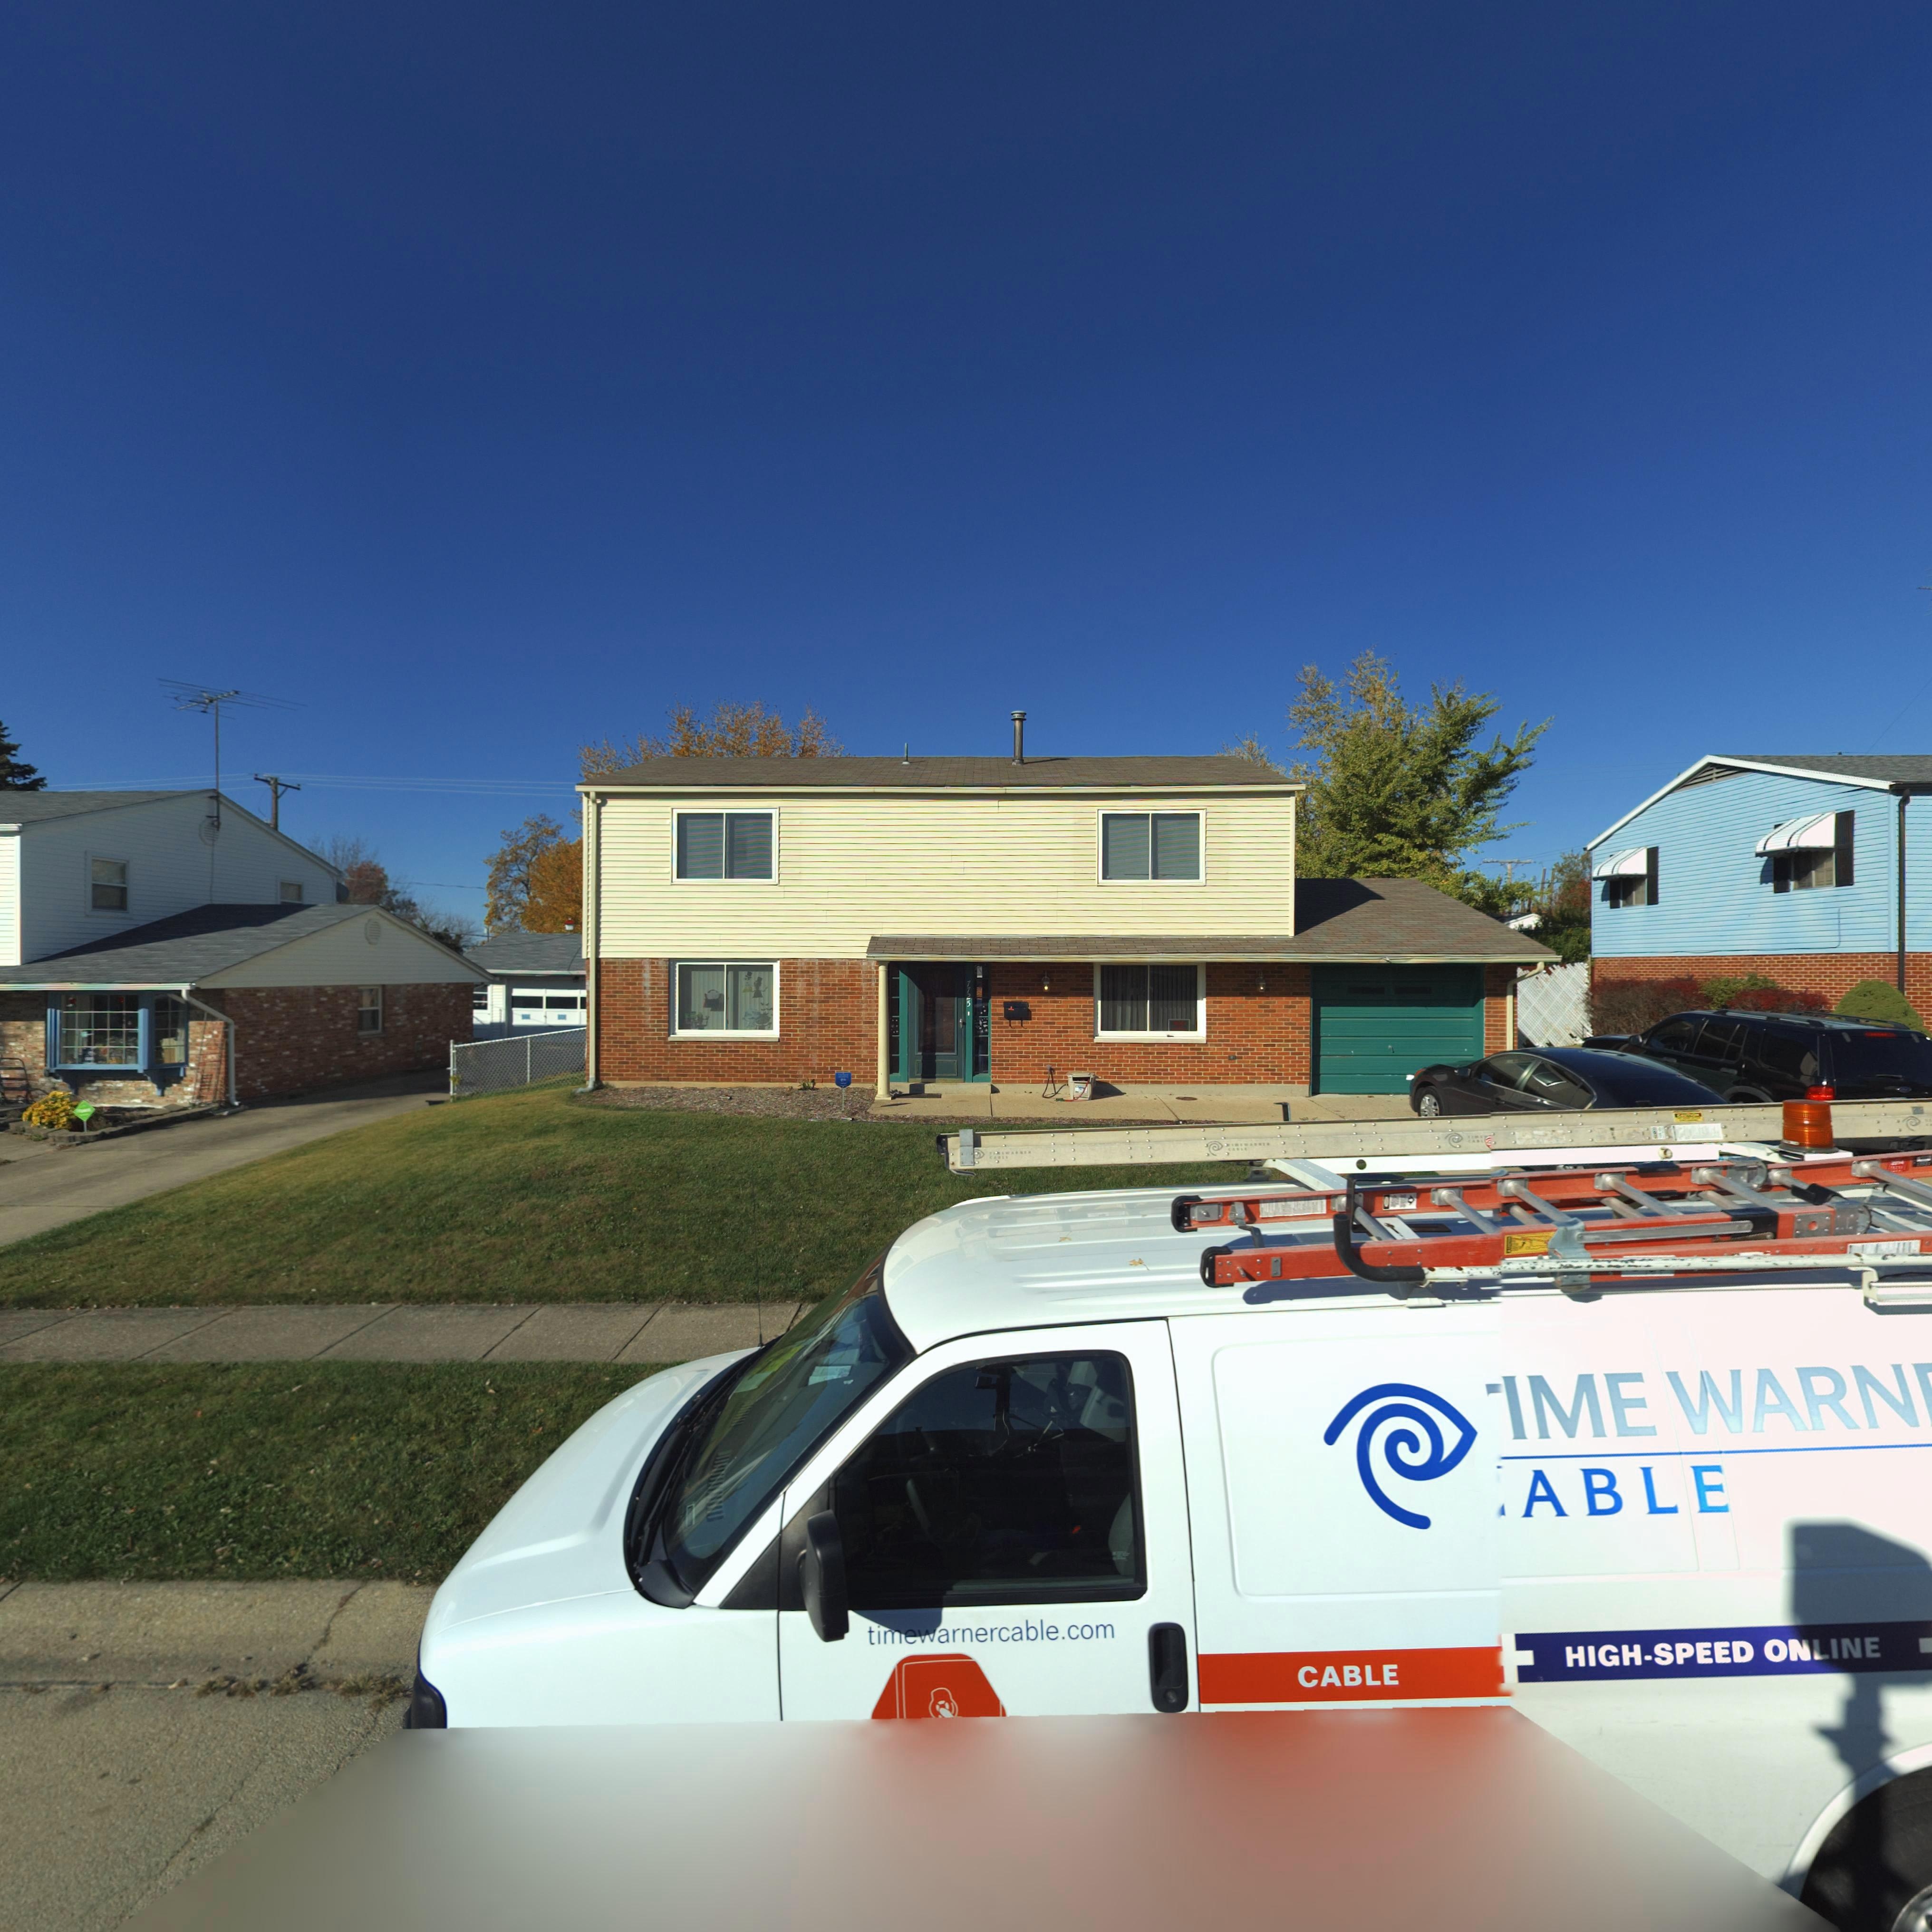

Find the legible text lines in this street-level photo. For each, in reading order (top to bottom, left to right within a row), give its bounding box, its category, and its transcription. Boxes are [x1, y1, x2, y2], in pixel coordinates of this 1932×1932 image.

[966, 979, 971, 1008] StreetNumber: 7725